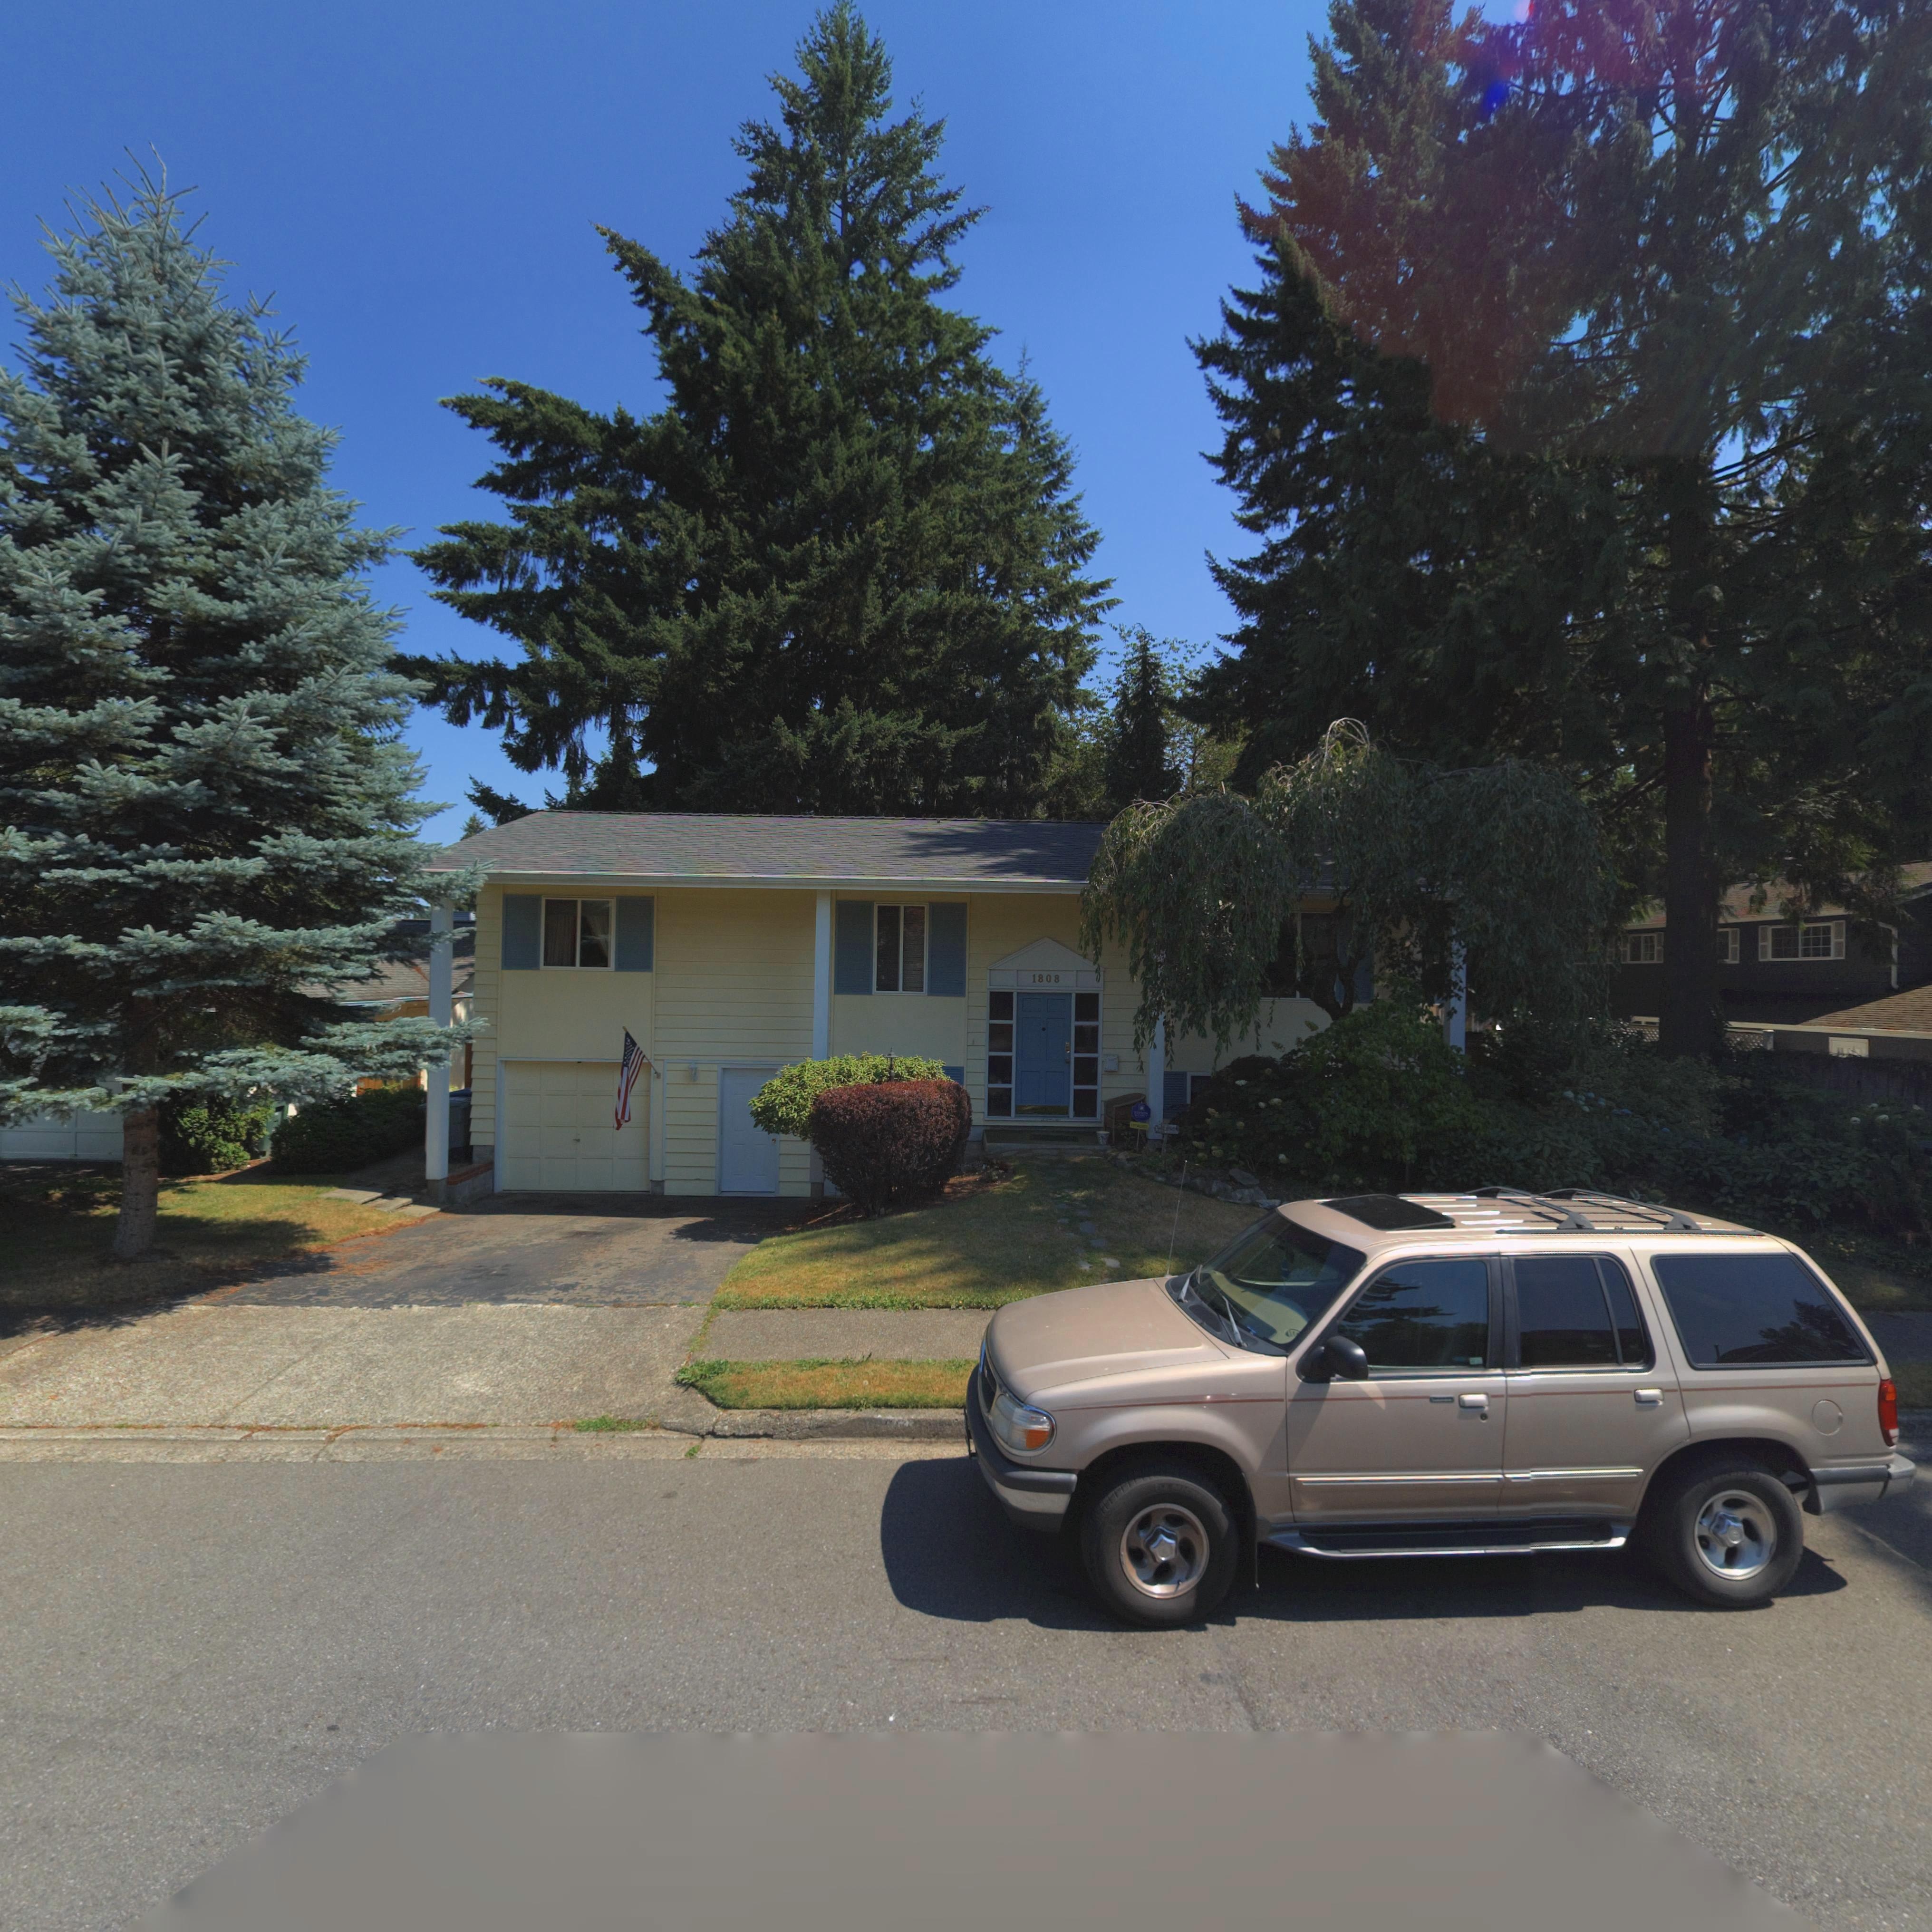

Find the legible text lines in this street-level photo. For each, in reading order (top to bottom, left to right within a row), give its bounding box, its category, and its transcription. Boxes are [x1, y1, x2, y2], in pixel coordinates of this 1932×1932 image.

[1031, 974, 1059, 984] StreetNumber: 1808